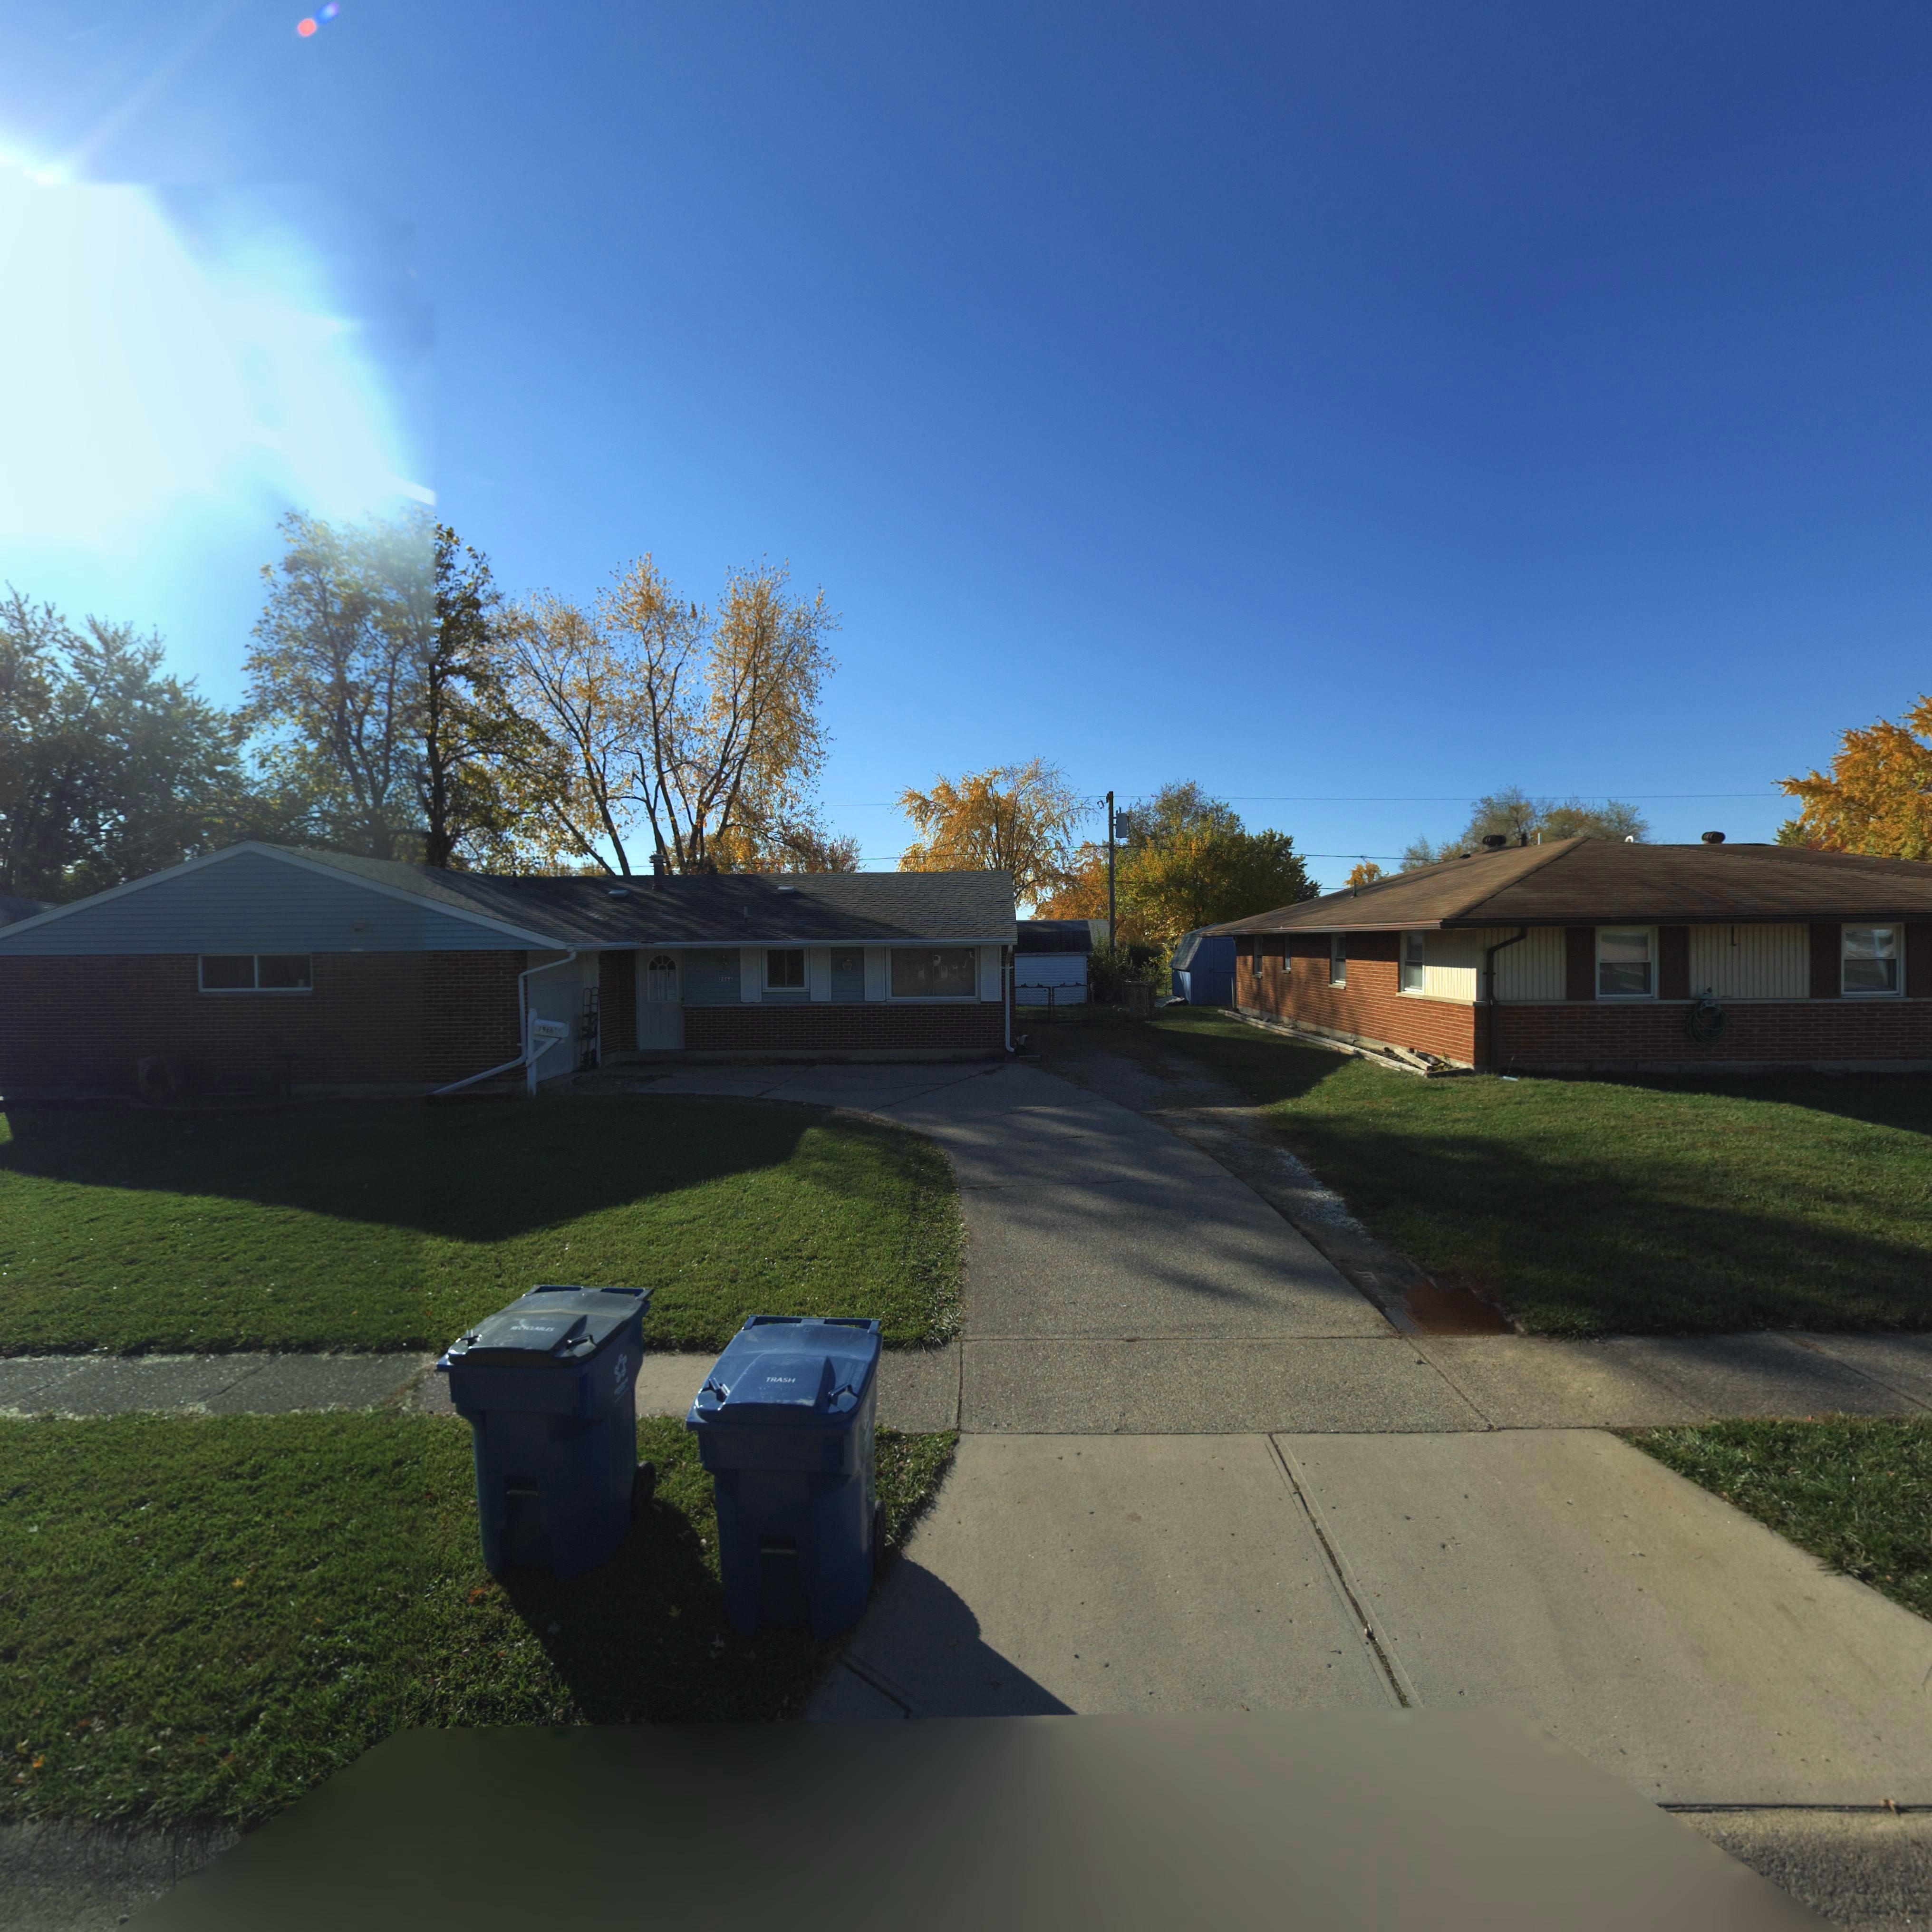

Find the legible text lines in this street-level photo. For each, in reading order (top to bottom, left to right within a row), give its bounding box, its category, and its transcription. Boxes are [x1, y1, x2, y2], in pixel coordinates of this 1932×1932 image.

[718, 977, 733, 982] StreetNumber: 7966
[537, 1025, 555, 1034] StreetNumber: 7966